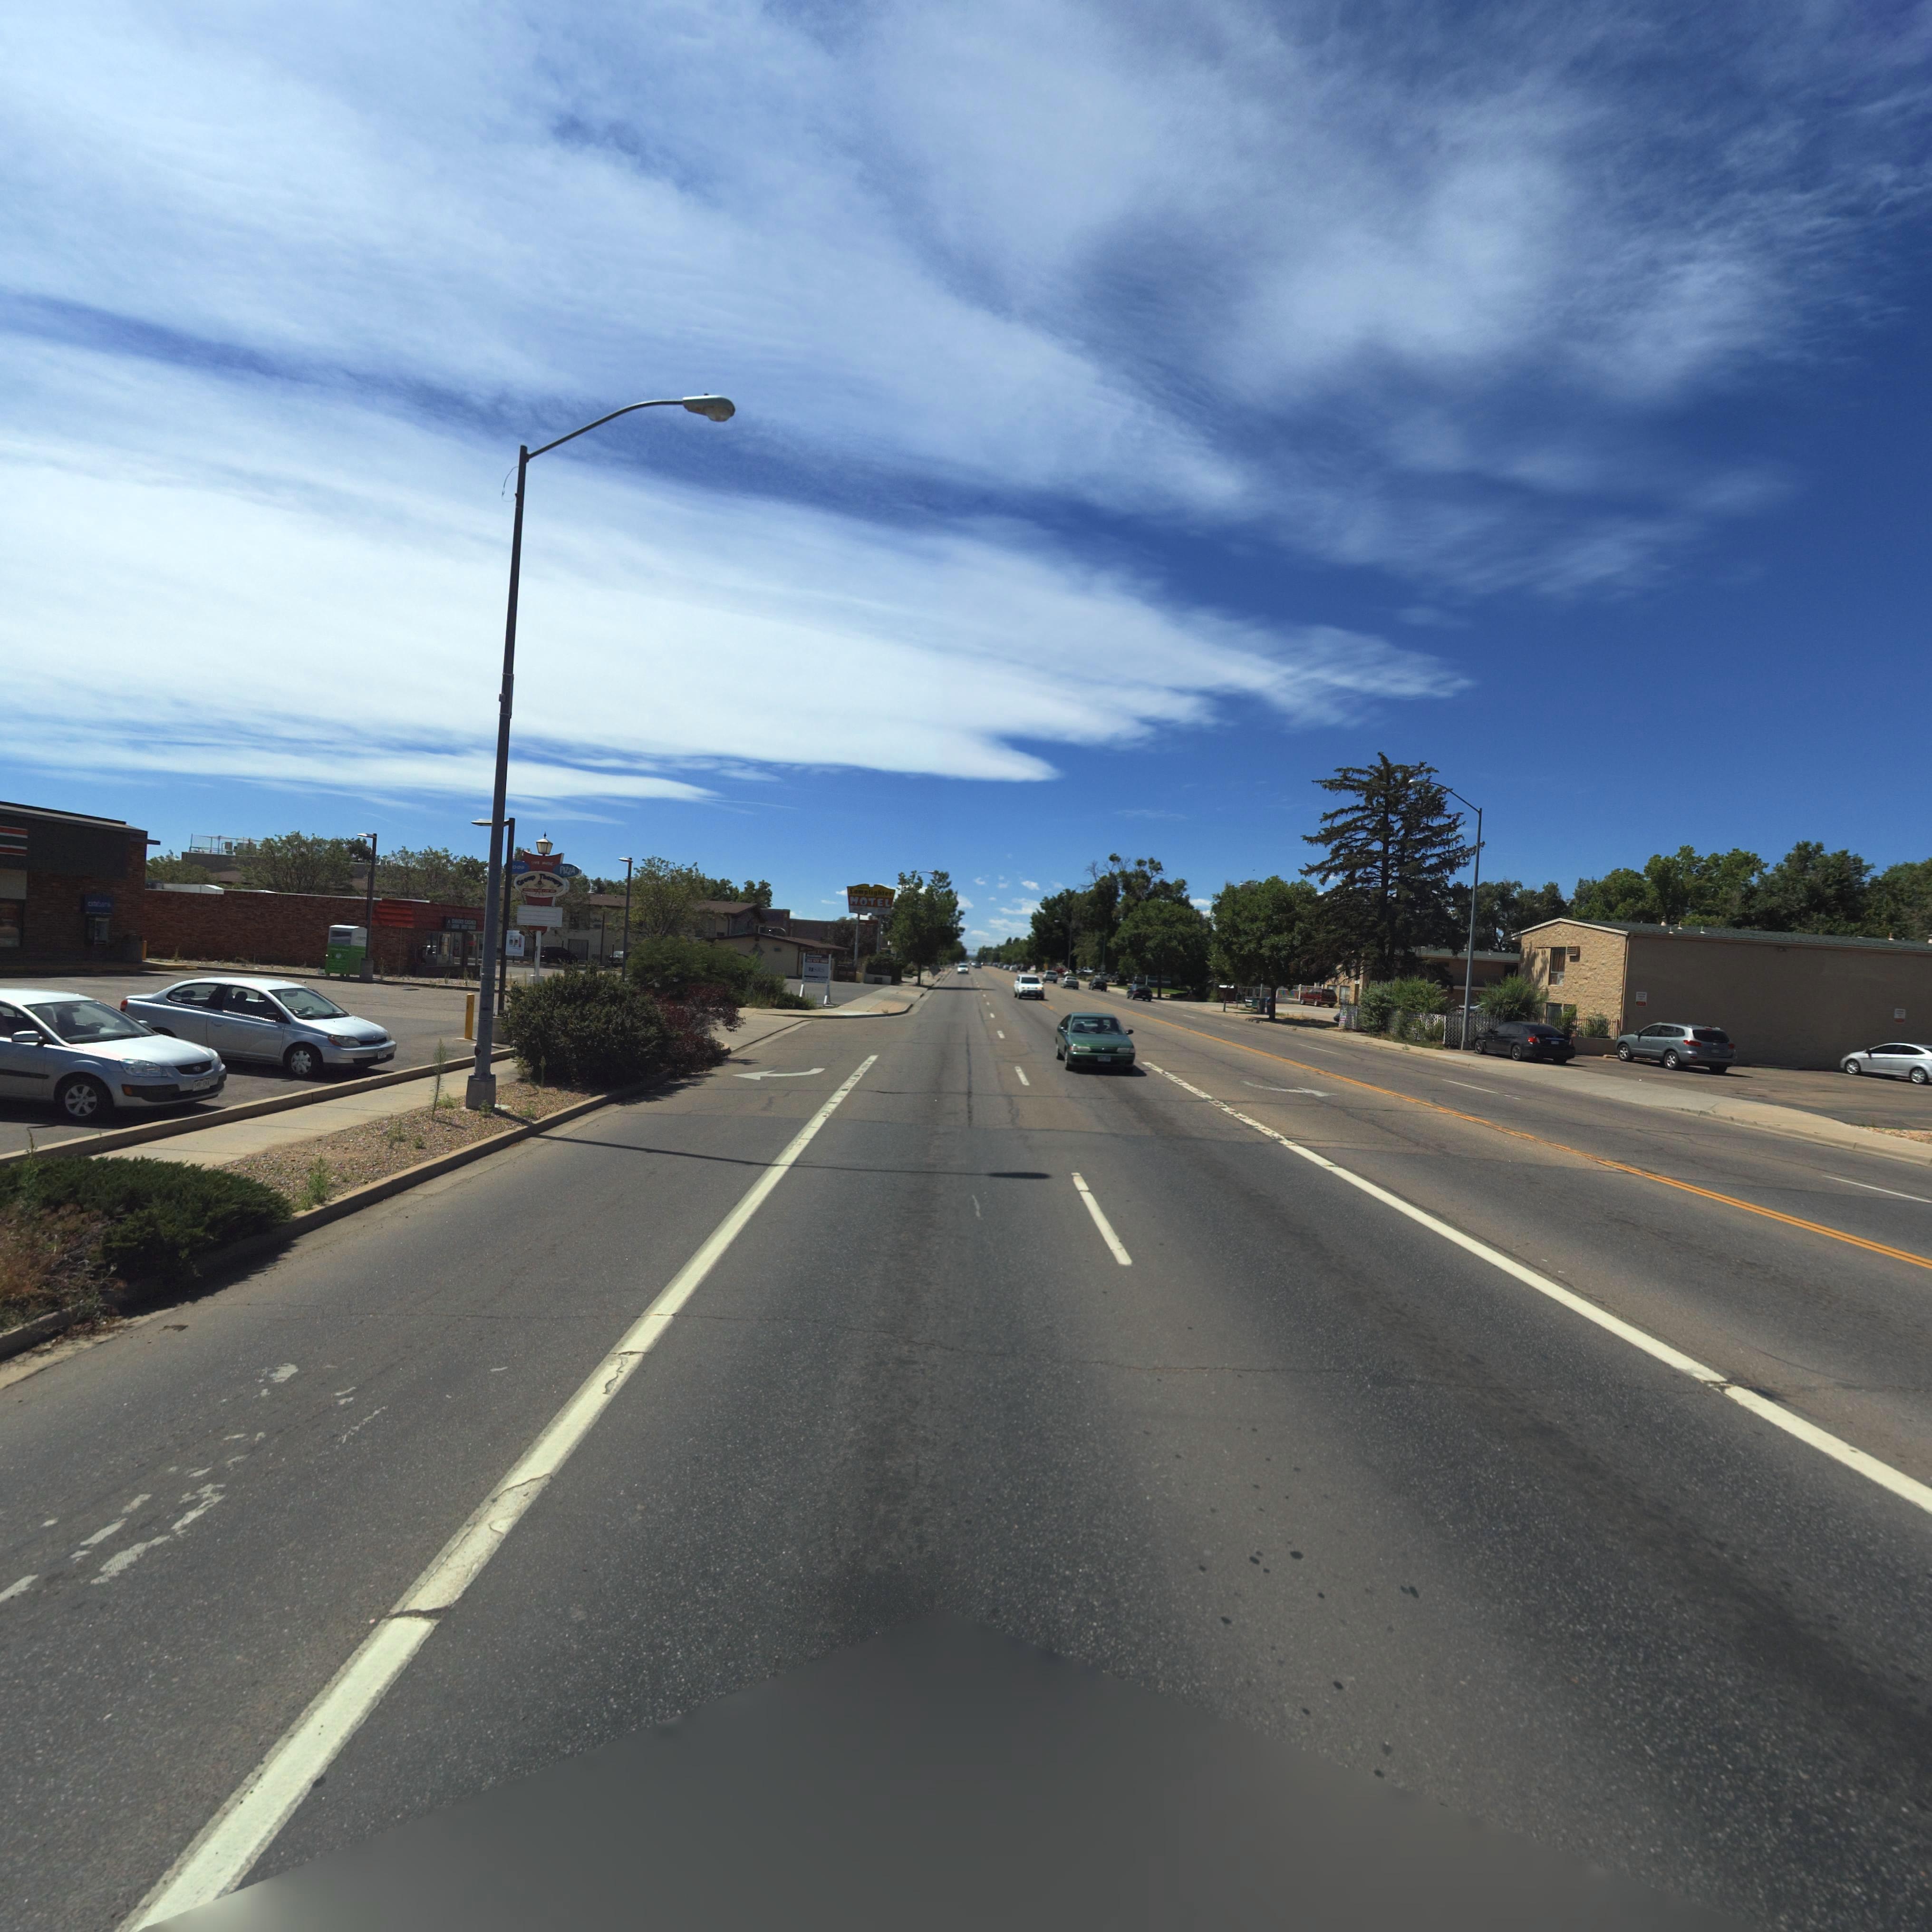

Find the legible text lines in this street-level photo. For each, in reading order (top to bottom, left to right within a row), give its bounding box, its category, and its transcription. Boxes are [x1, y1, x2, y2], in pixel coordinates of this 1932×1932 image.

[849, 887, 893, 897] BusinessName: Lamplighter
[849, 896, 890, 907] BusinessName: MOTEL
[451, 918, 476, 925] BusinessName: CH***S CA****